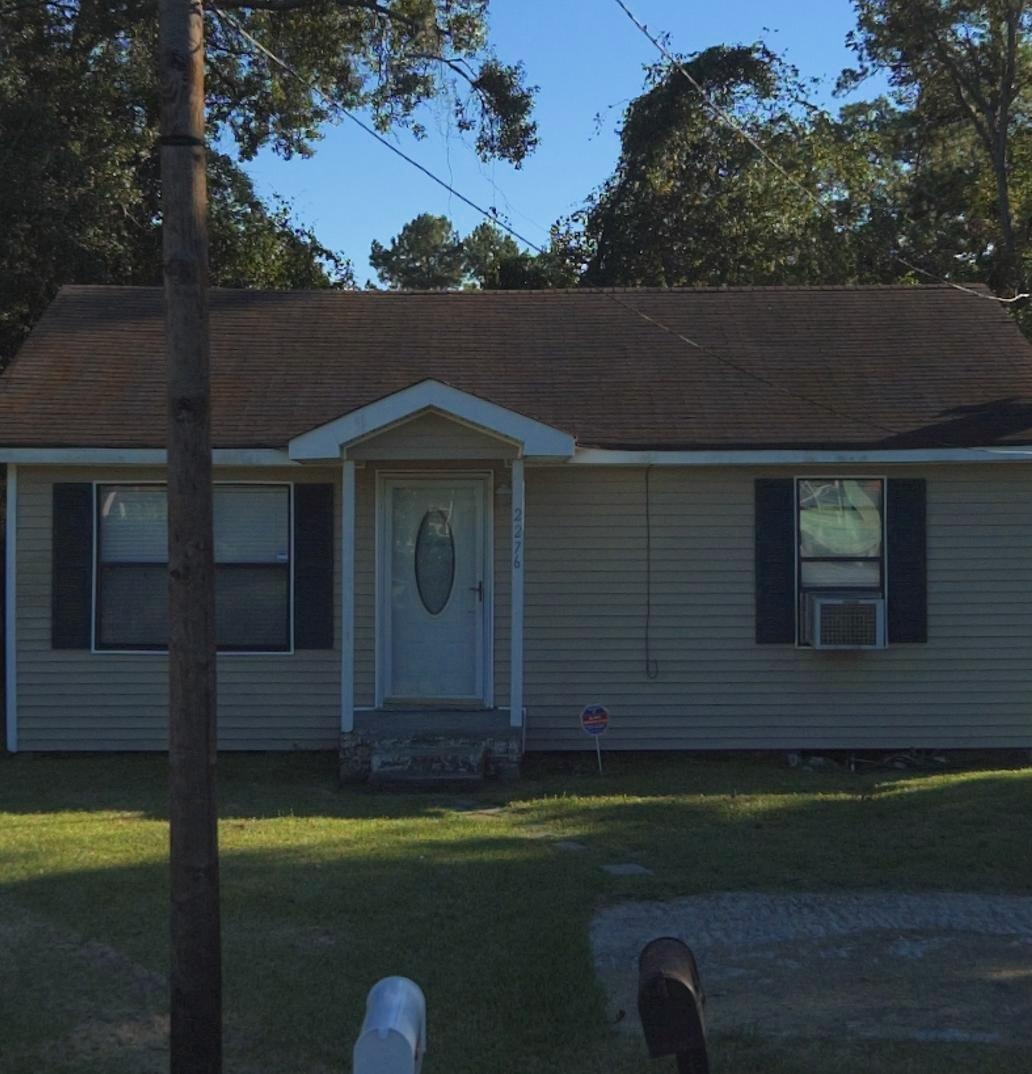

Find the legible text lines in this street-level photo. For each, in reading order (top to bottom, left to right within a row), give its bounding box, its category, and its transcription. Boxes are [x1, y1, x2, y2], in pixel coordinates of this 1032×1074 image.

[512, 506, 524, 570] StreetNumber: 2276